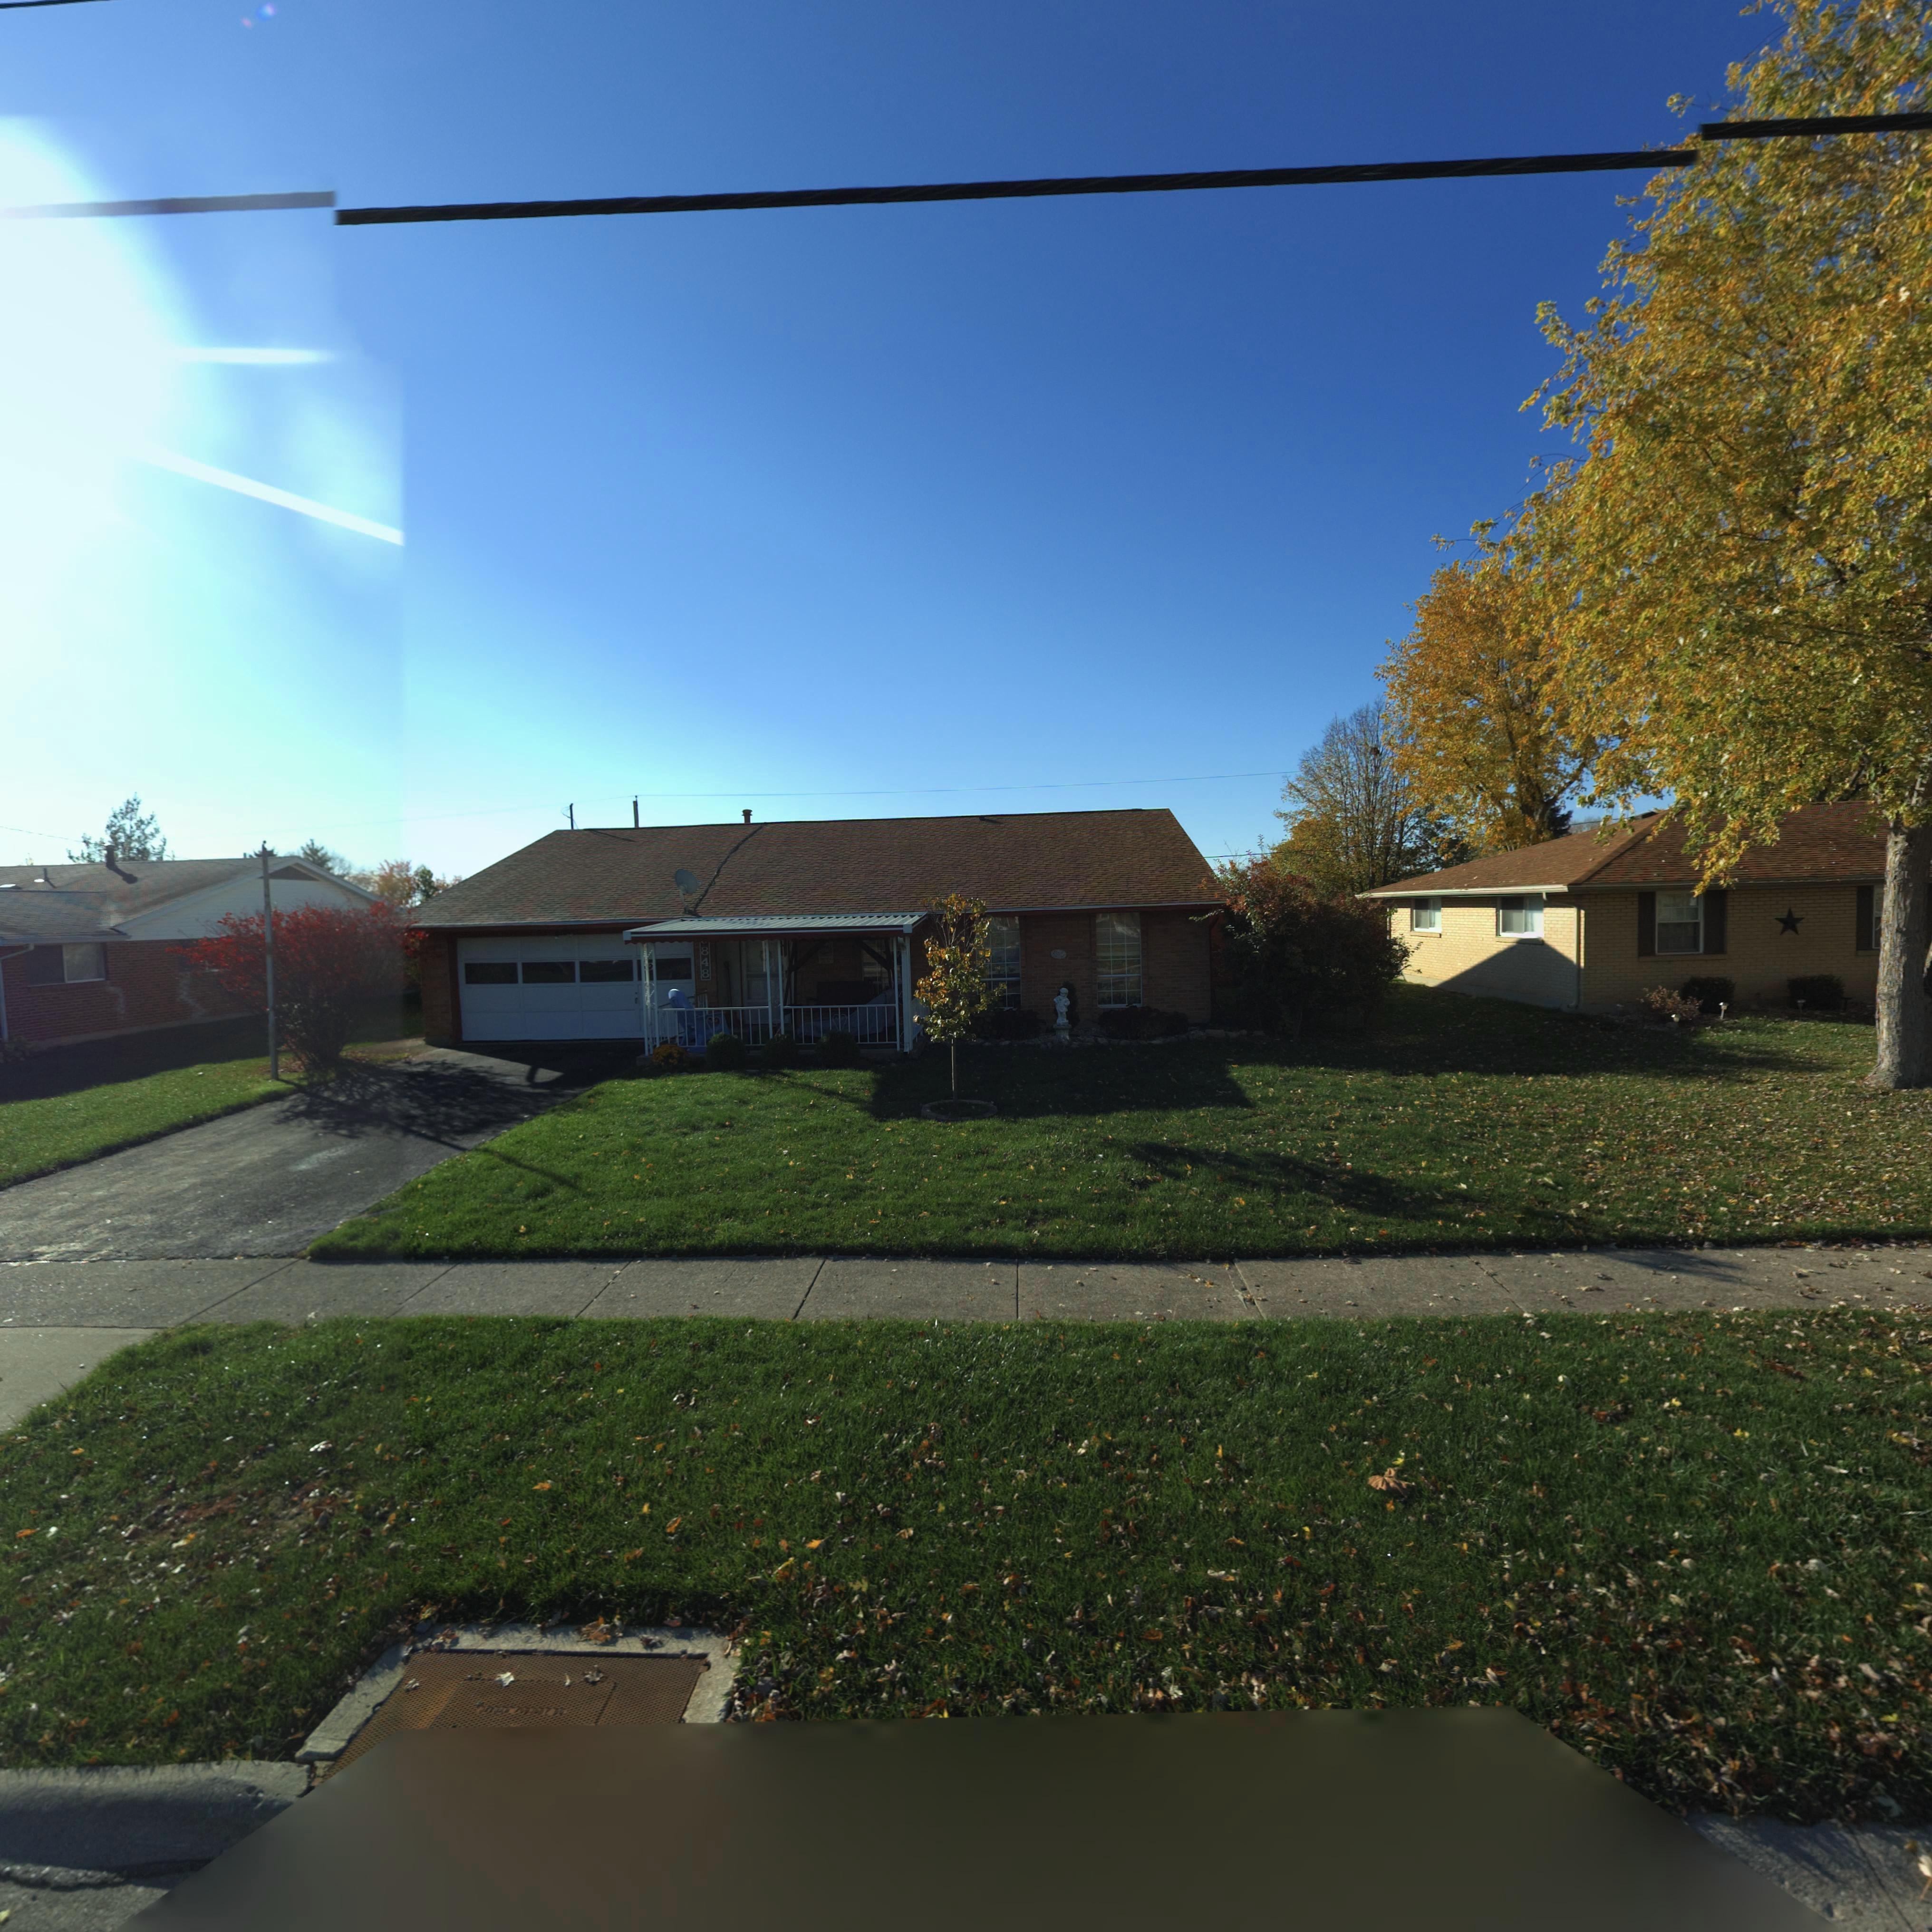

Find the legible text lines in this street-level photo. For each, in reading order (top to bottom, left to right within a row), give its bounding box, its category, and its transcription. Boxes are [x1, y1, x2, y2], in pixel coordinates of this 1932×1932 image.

[701, 946, 710, 978] StreetNumber: 848